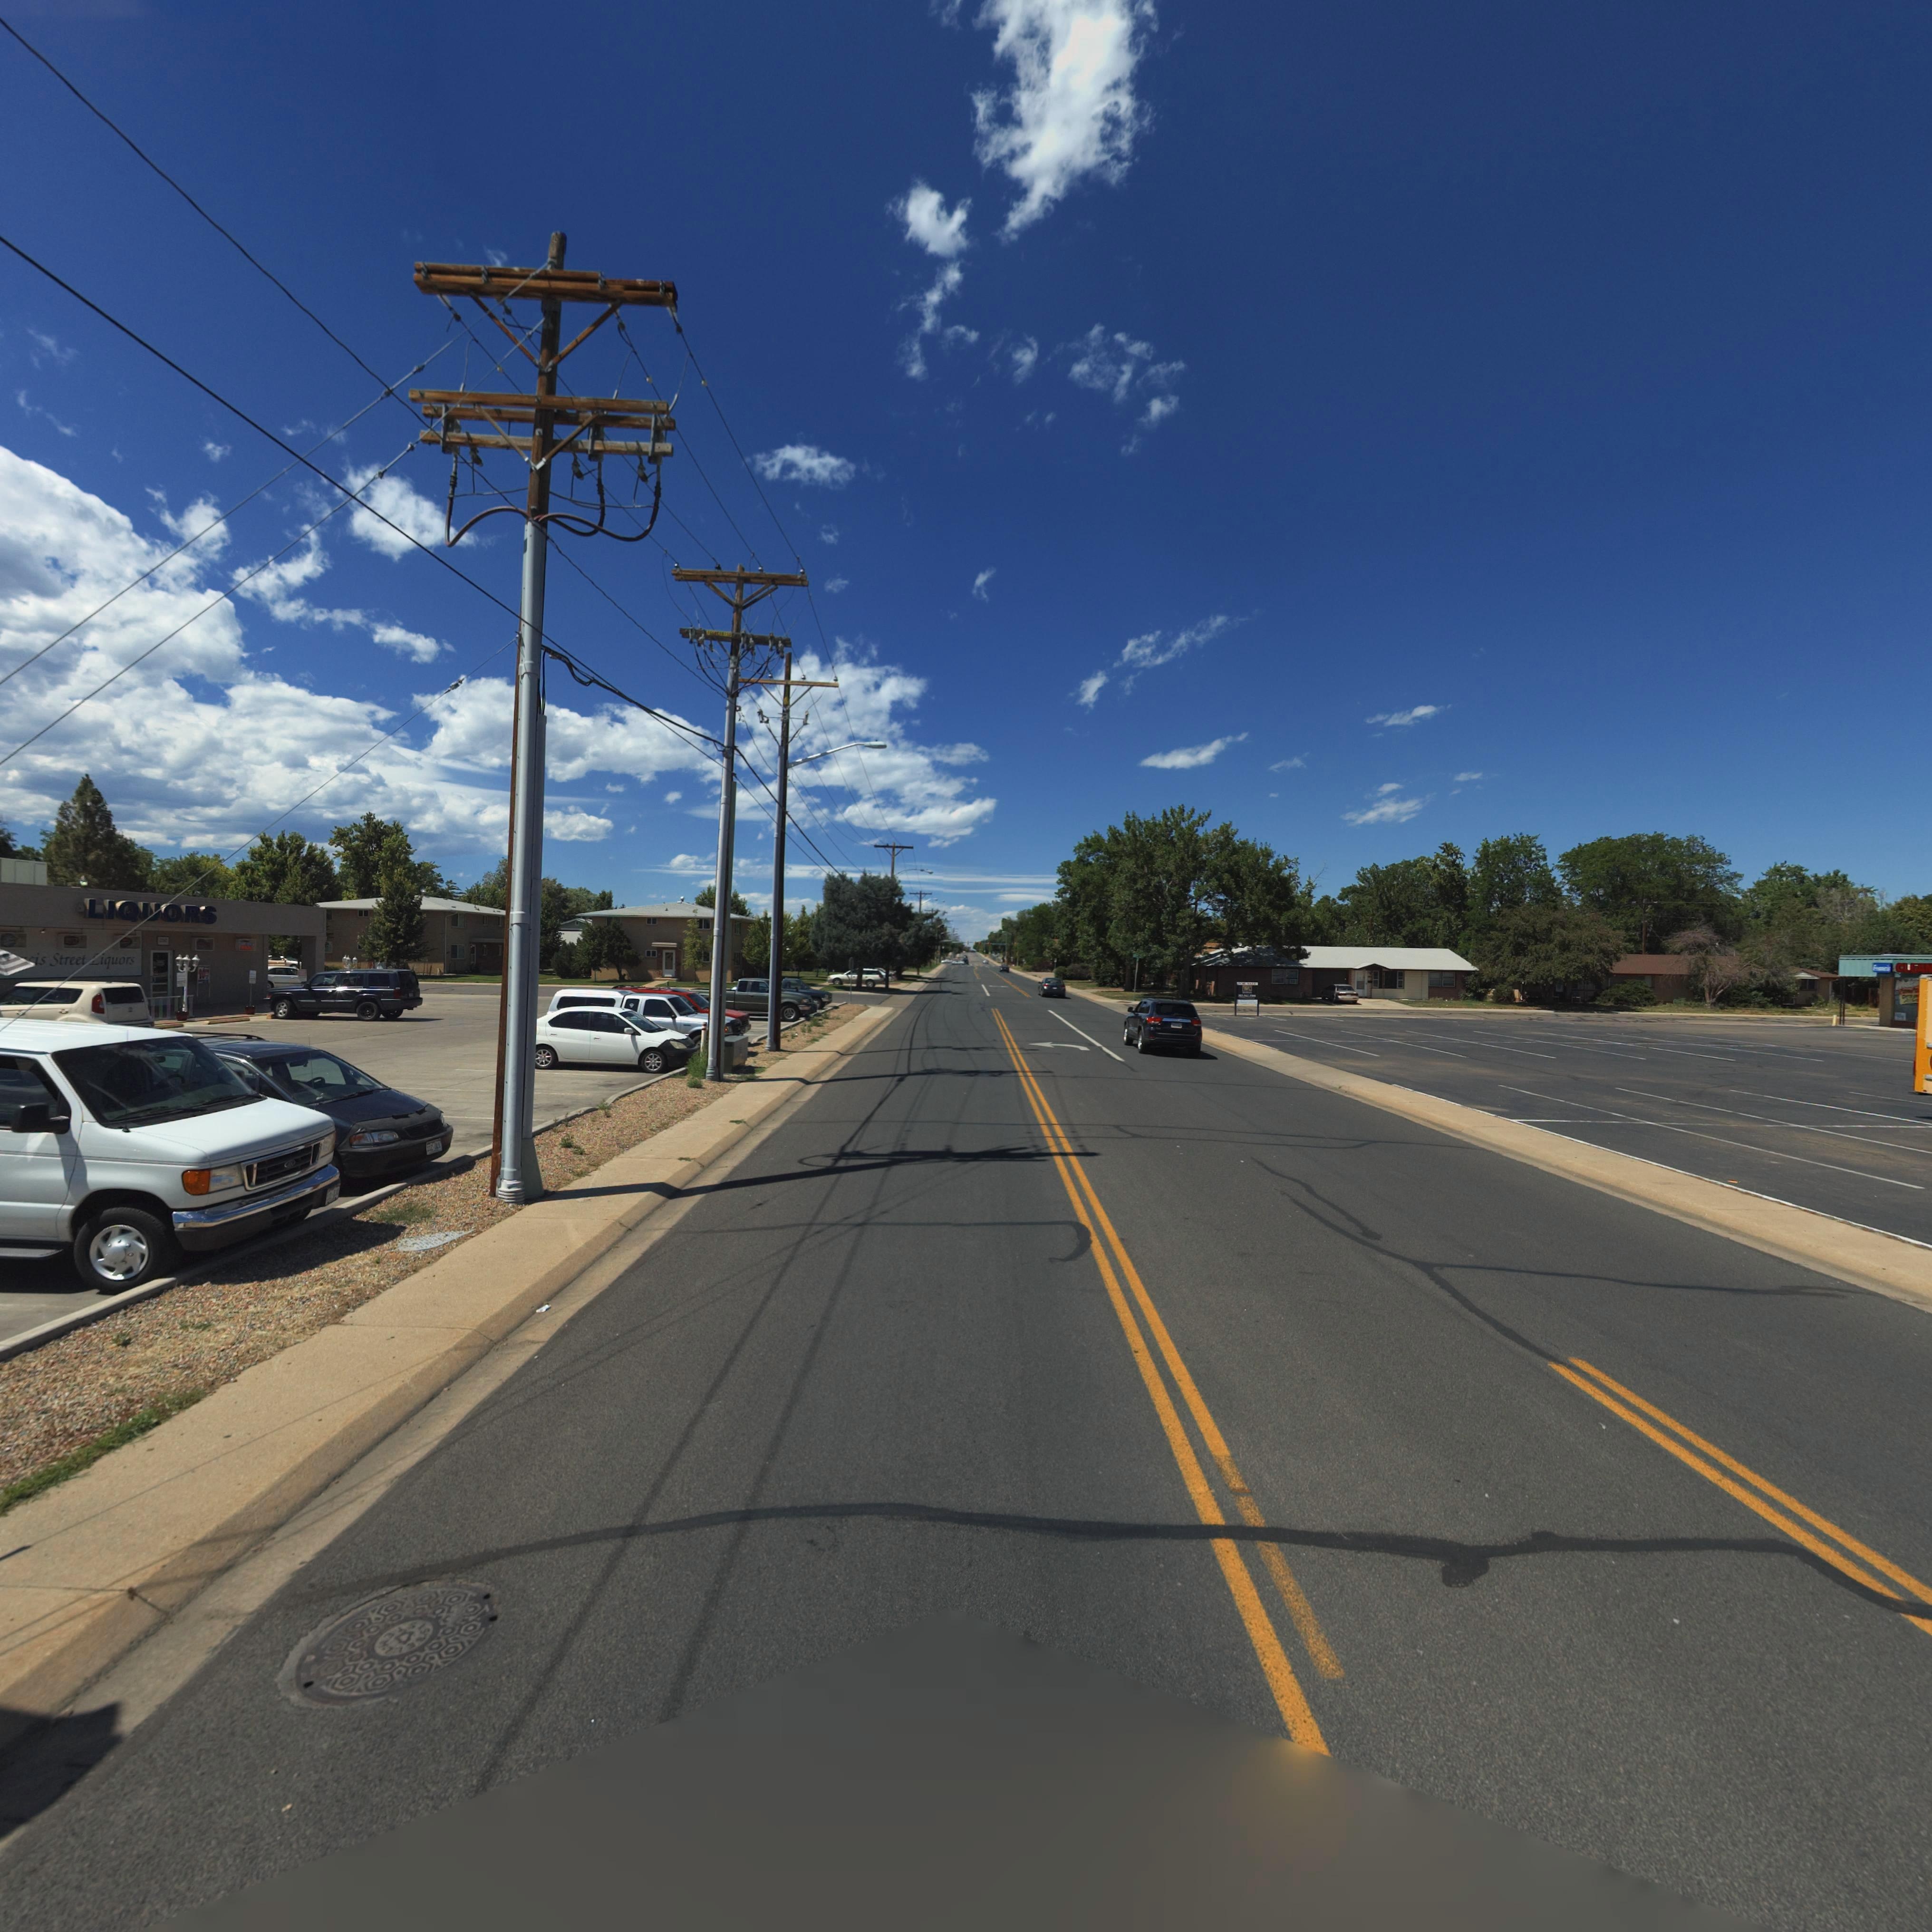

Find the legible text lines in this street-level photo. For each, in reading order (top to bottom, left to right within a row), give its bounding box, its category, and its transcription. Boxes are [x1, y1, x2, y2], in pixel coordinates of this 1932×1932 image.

[35, 951, 136, 970] BusinessName: is Street *iquors